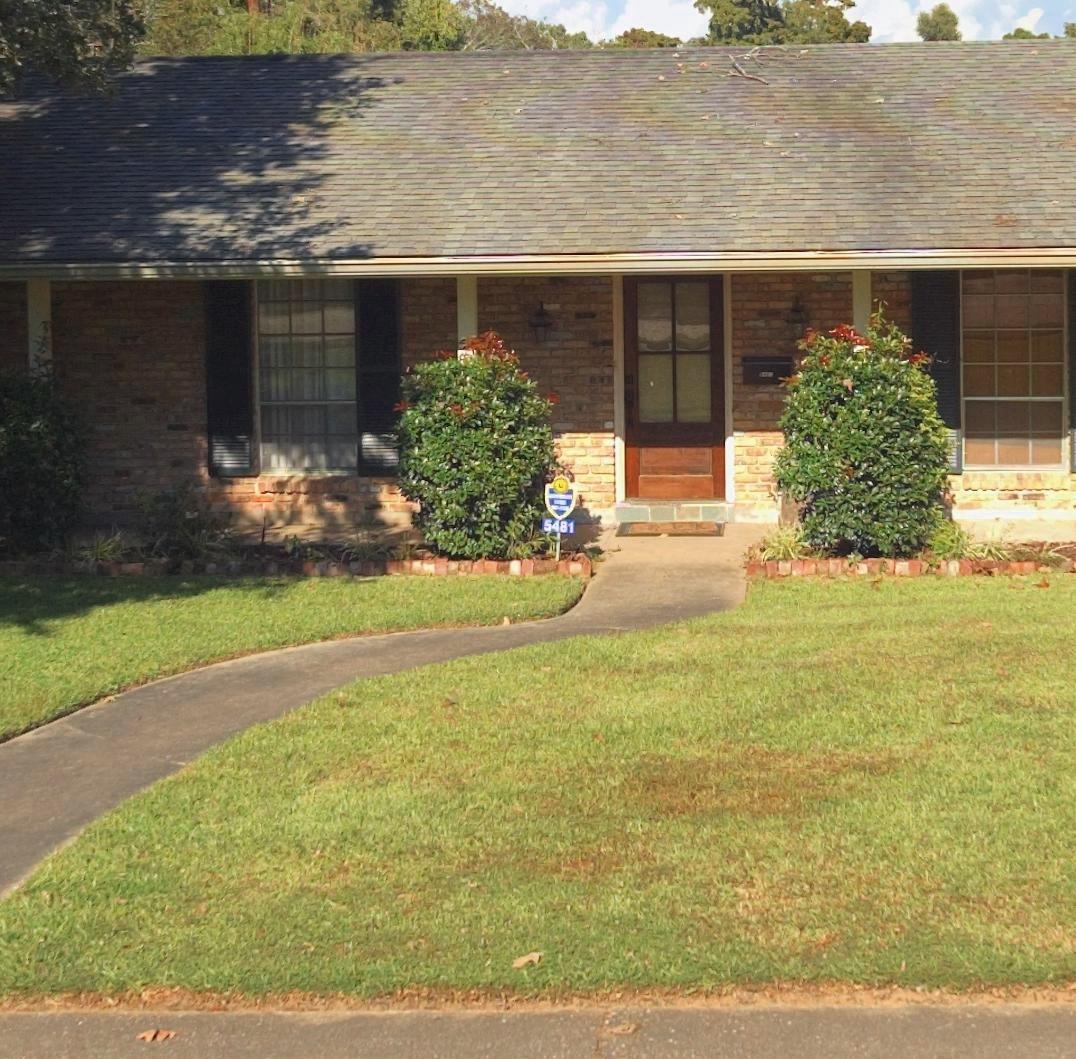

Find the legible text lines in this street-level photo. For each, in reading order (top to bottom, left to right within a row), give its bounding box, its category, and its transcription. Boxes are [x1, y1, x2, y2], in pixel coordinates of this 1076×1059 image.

[544, 519, 574, 534] StreetNumber: 5481